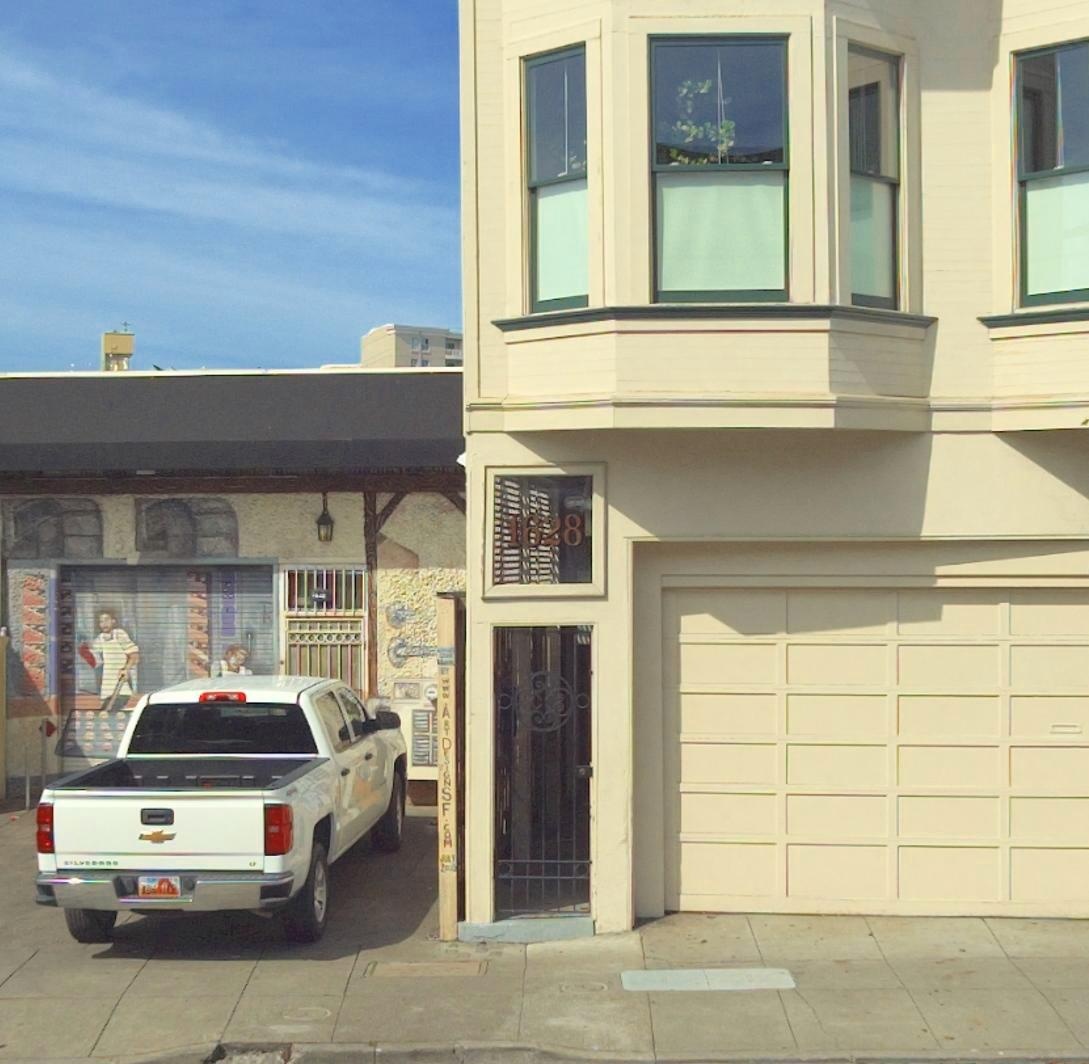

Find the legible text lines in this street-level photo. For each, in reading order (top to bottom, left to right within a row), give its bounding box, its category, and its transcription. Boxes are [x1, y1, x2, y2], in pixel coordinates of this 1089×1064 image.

[504, 510, 586, 552] StreetNumber: 1628
[440, 674, 455, 850] None: A**D*SIGNSF.com
[62, 858, 122, 868] None: SILVER***O
[246, 859, 256, 869] None: L